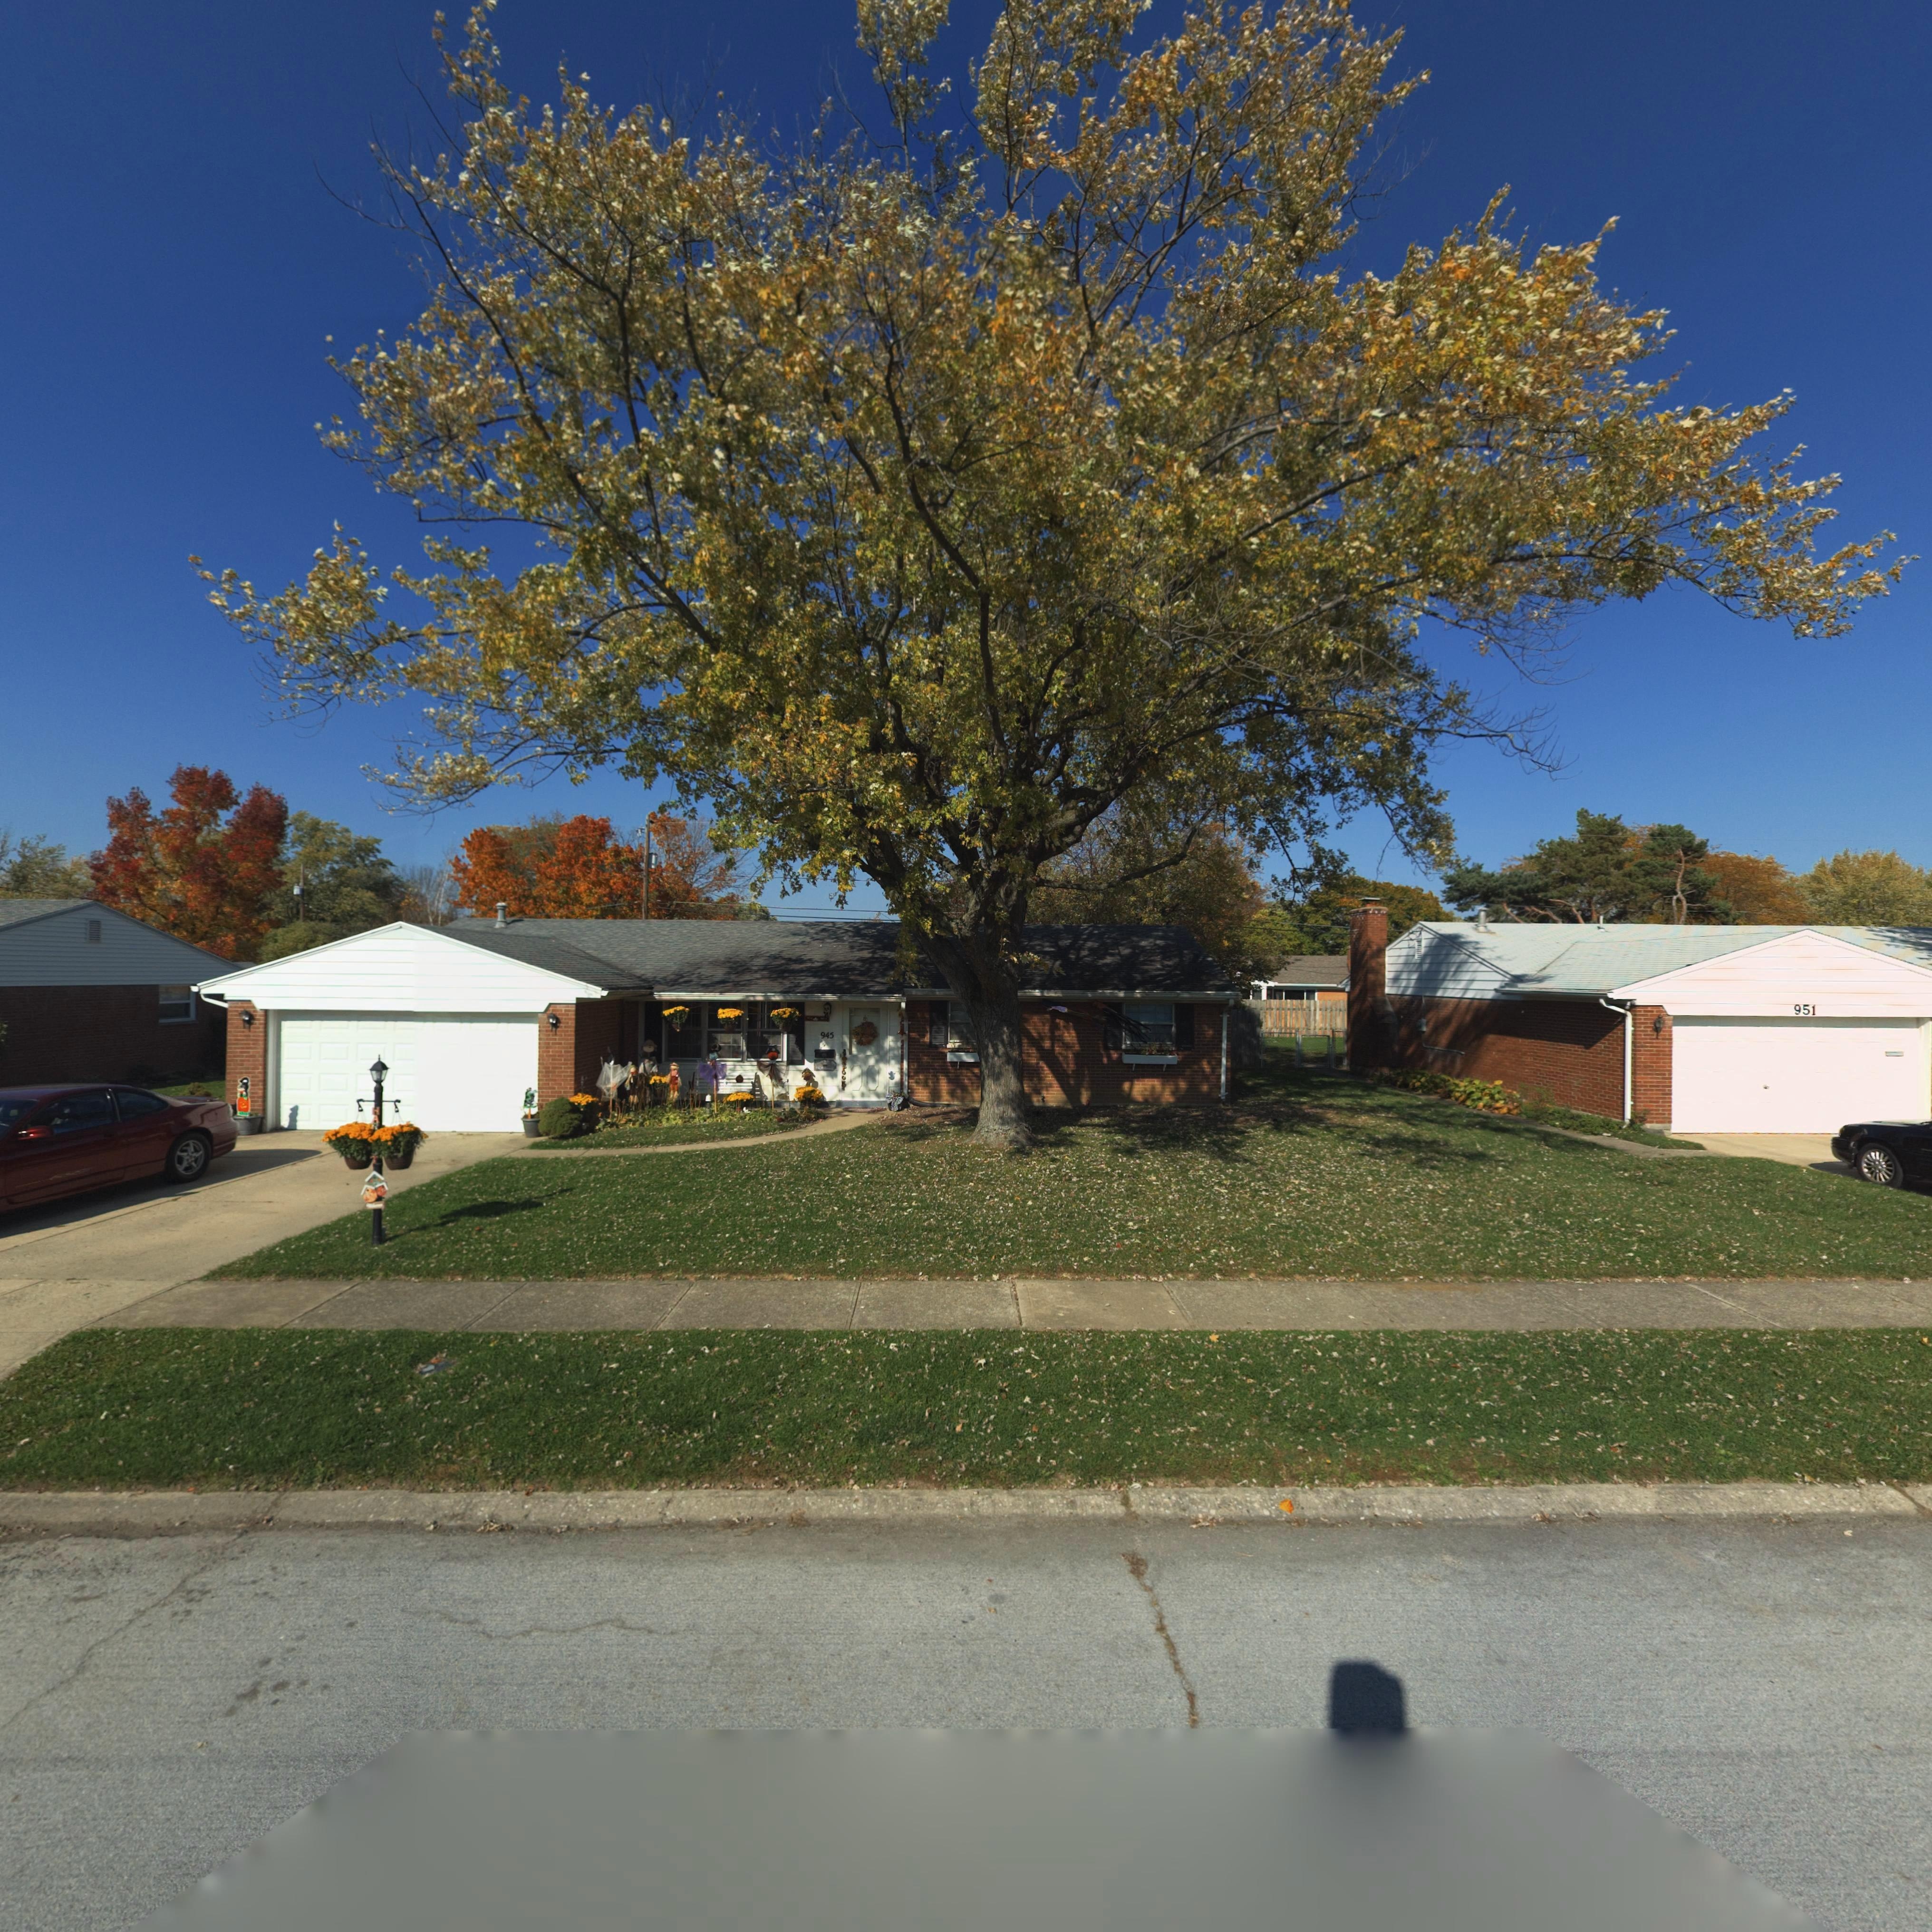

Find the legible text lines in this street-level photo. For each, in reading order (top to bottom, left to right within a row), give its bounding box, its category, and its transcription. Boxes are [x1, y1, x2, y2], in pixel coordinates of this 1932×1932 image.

[1793, 1003, 1816, 1016] StreetNumber: 951
[820, 1031, 834, 1039] StreetNumber: 945